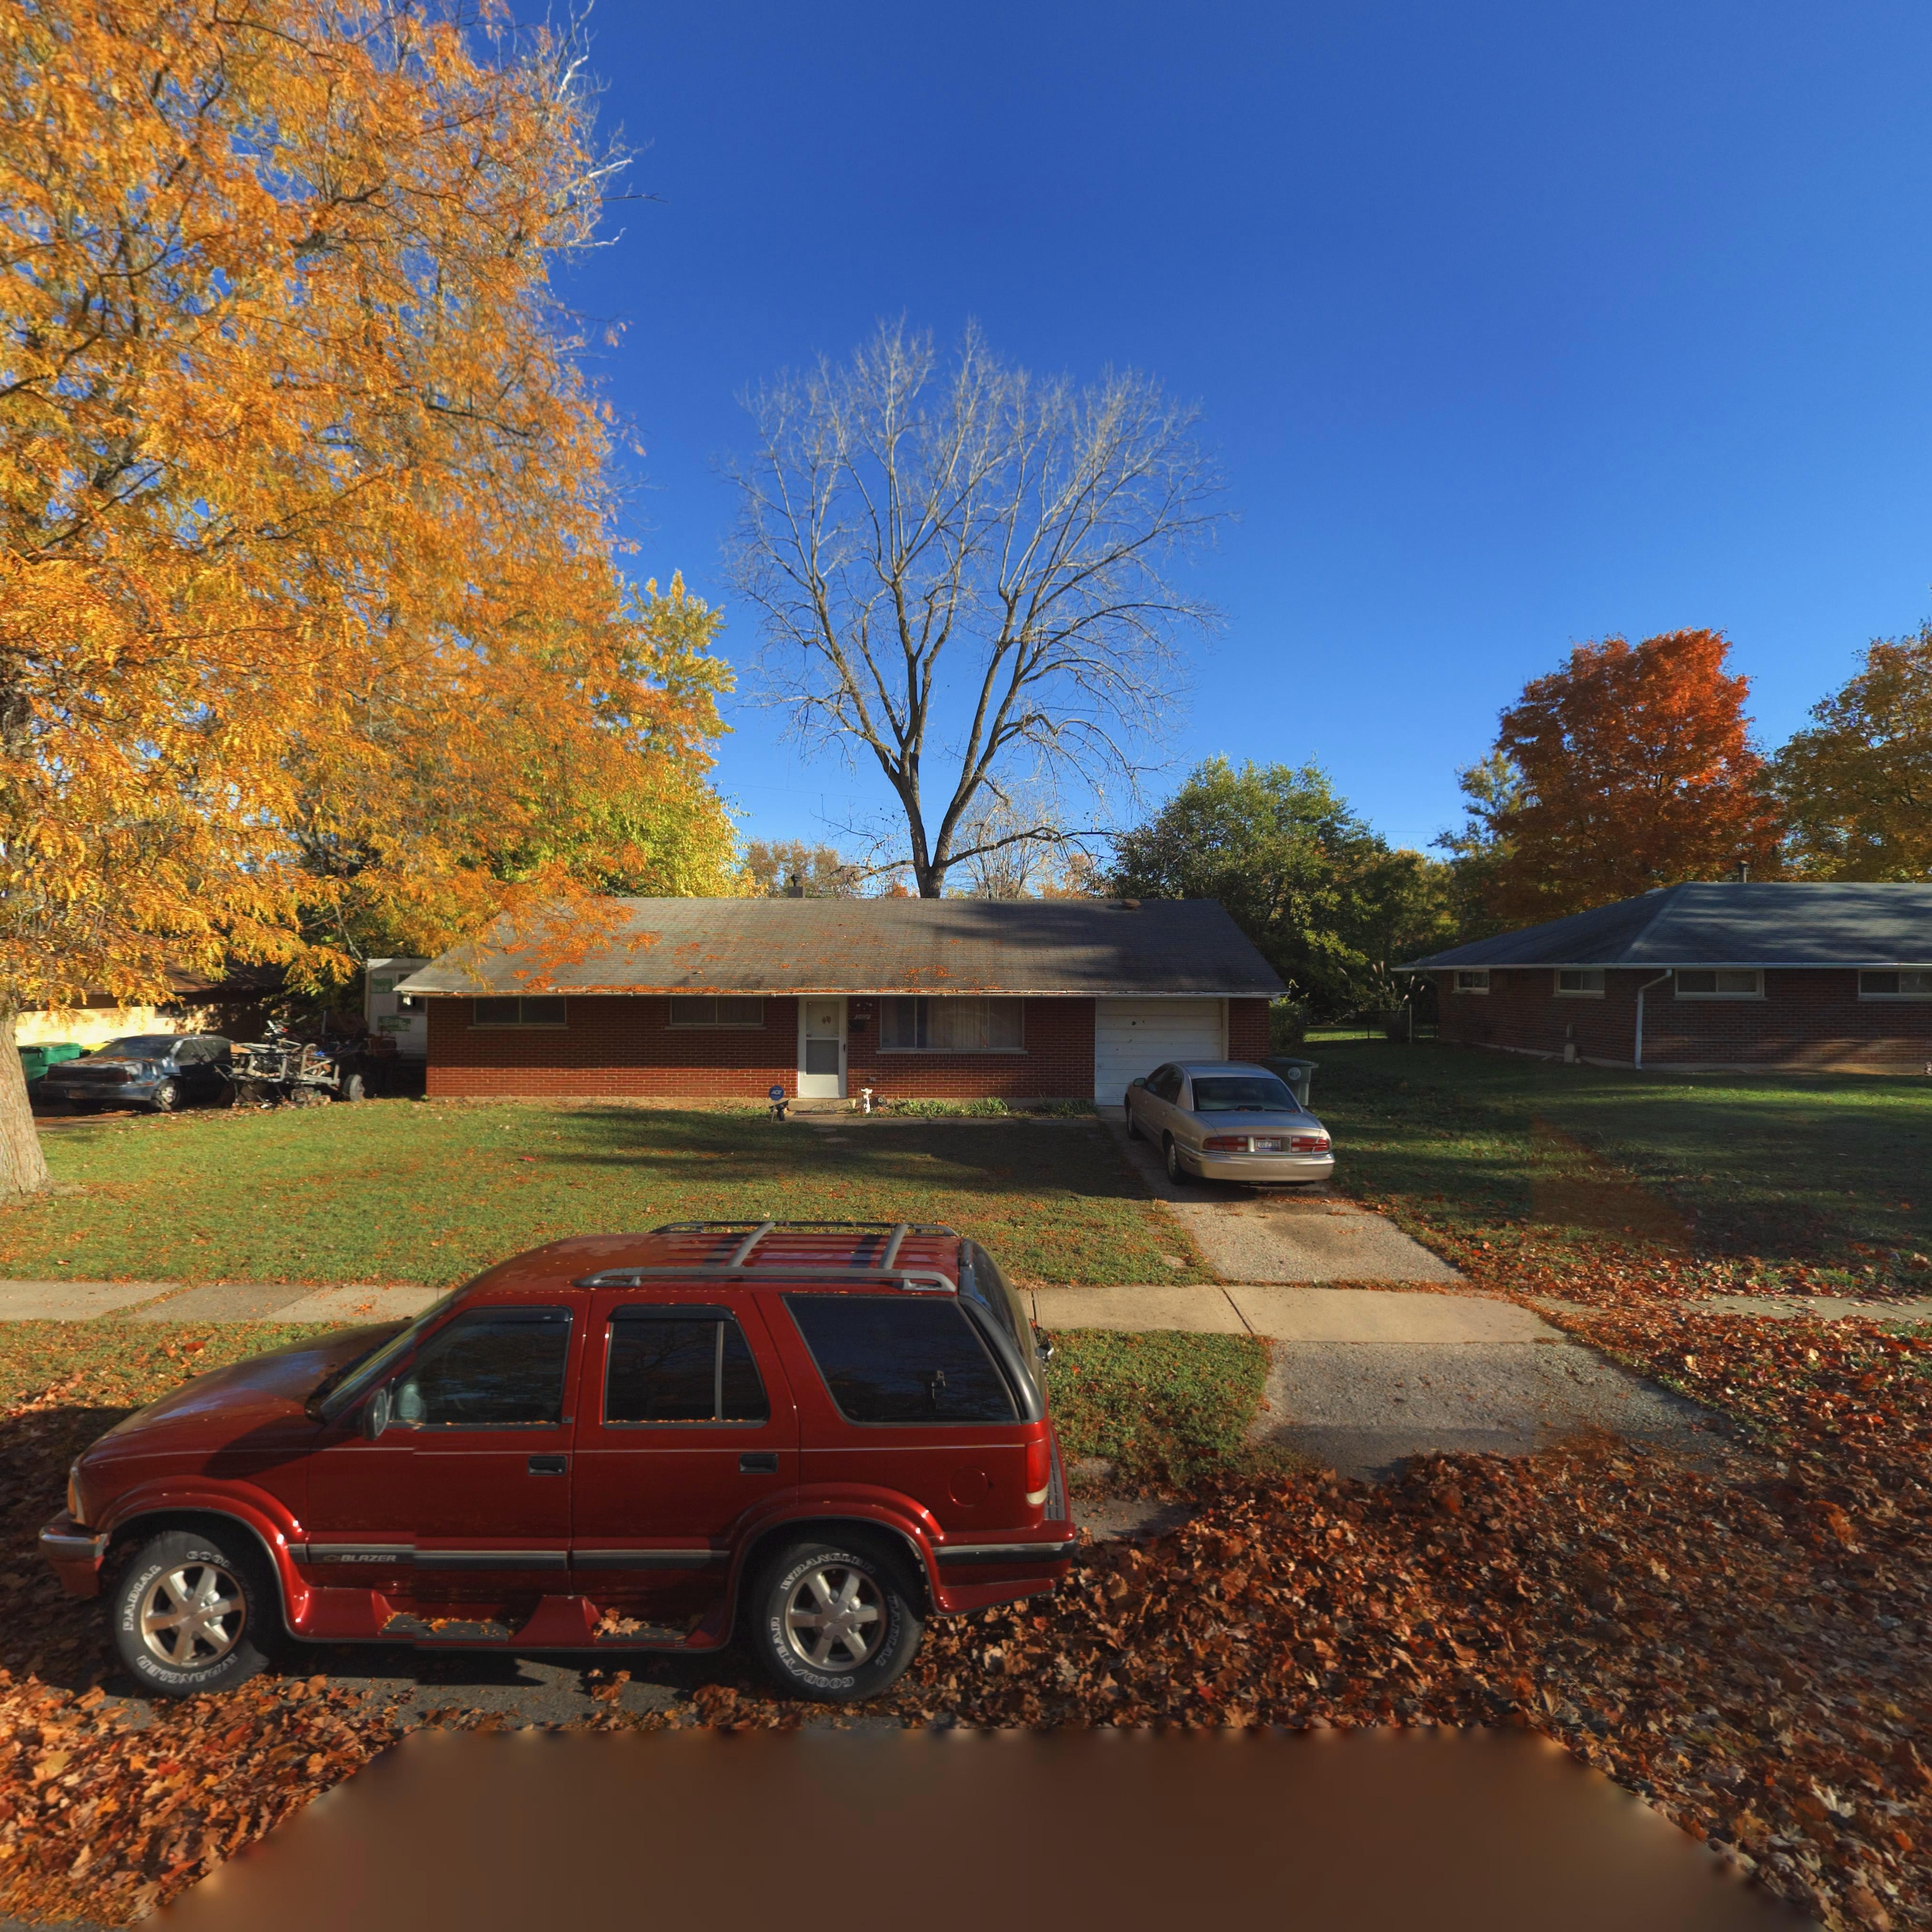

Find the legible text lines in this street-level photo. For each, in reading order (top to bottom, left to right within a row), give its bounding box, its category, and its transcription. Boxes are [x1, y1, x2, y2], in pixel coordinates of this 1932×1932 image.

[856, 1014, 869, 1020] StreetNumber: 26**